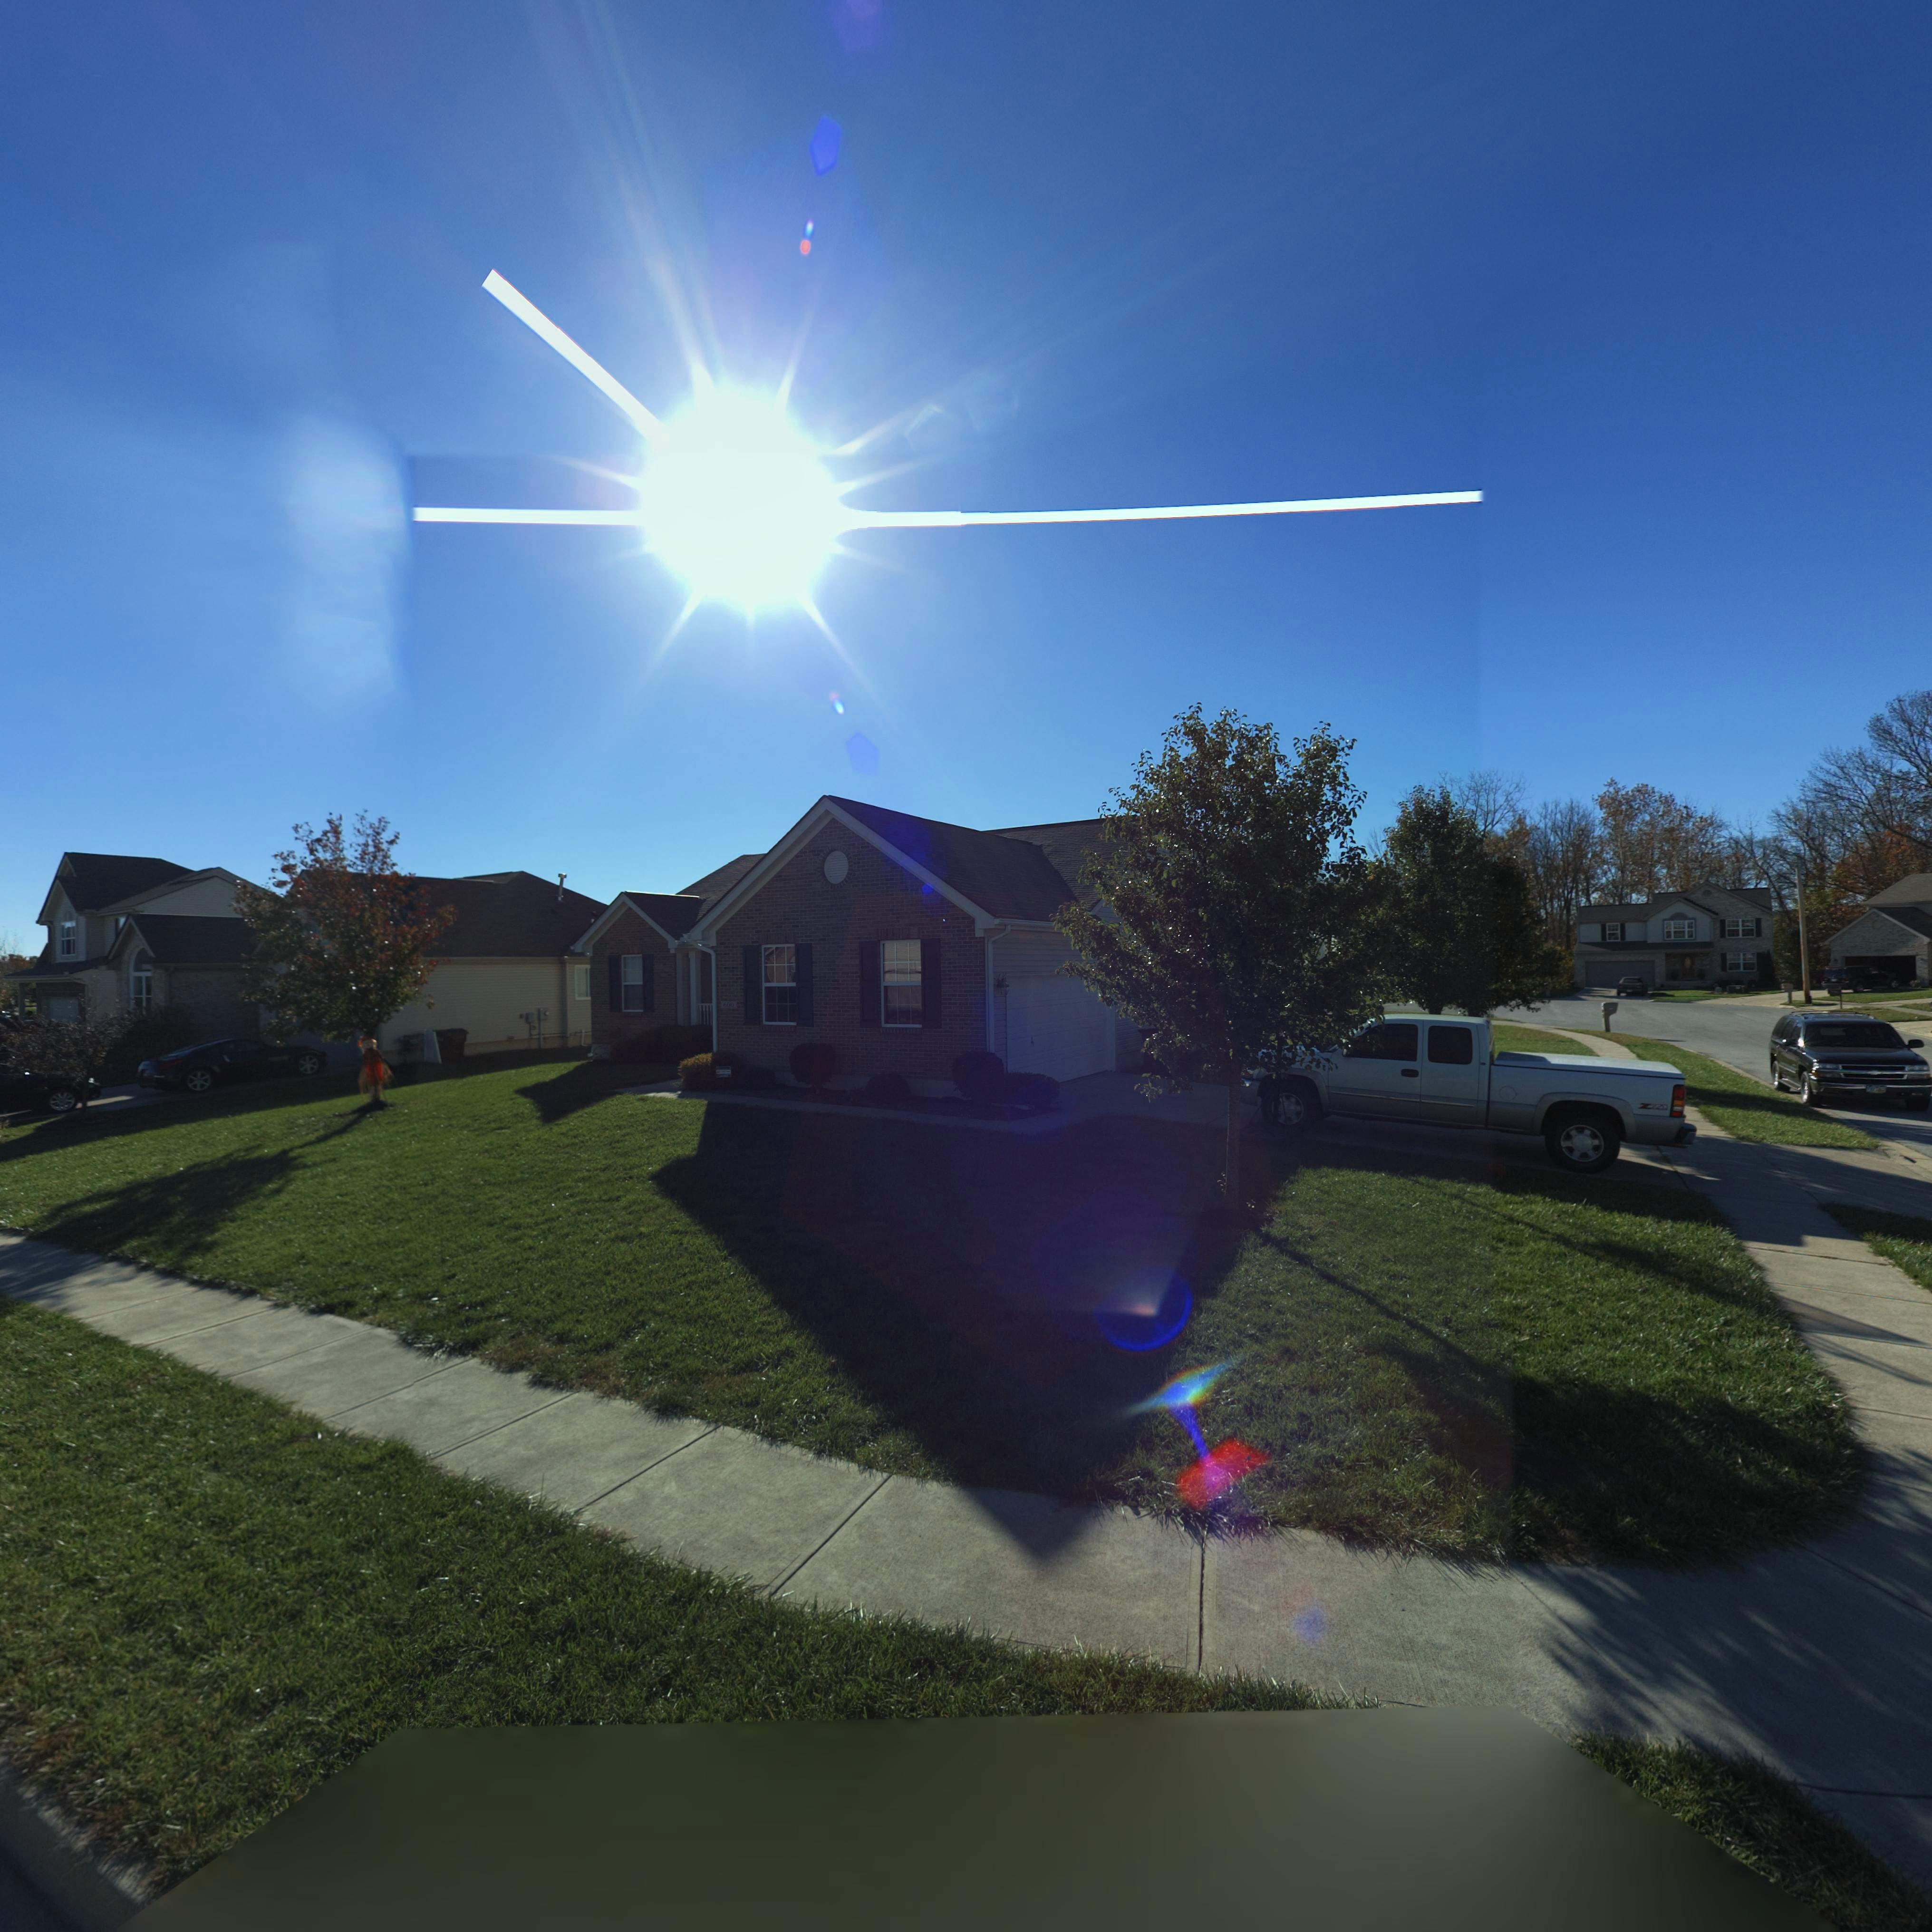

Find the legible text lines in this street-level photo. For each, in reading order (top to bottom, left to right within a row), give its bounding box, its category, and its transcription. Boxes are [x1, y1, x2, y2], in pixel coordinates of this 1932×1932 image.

[723, 1001, 734, 1008] StreetNumber: 600